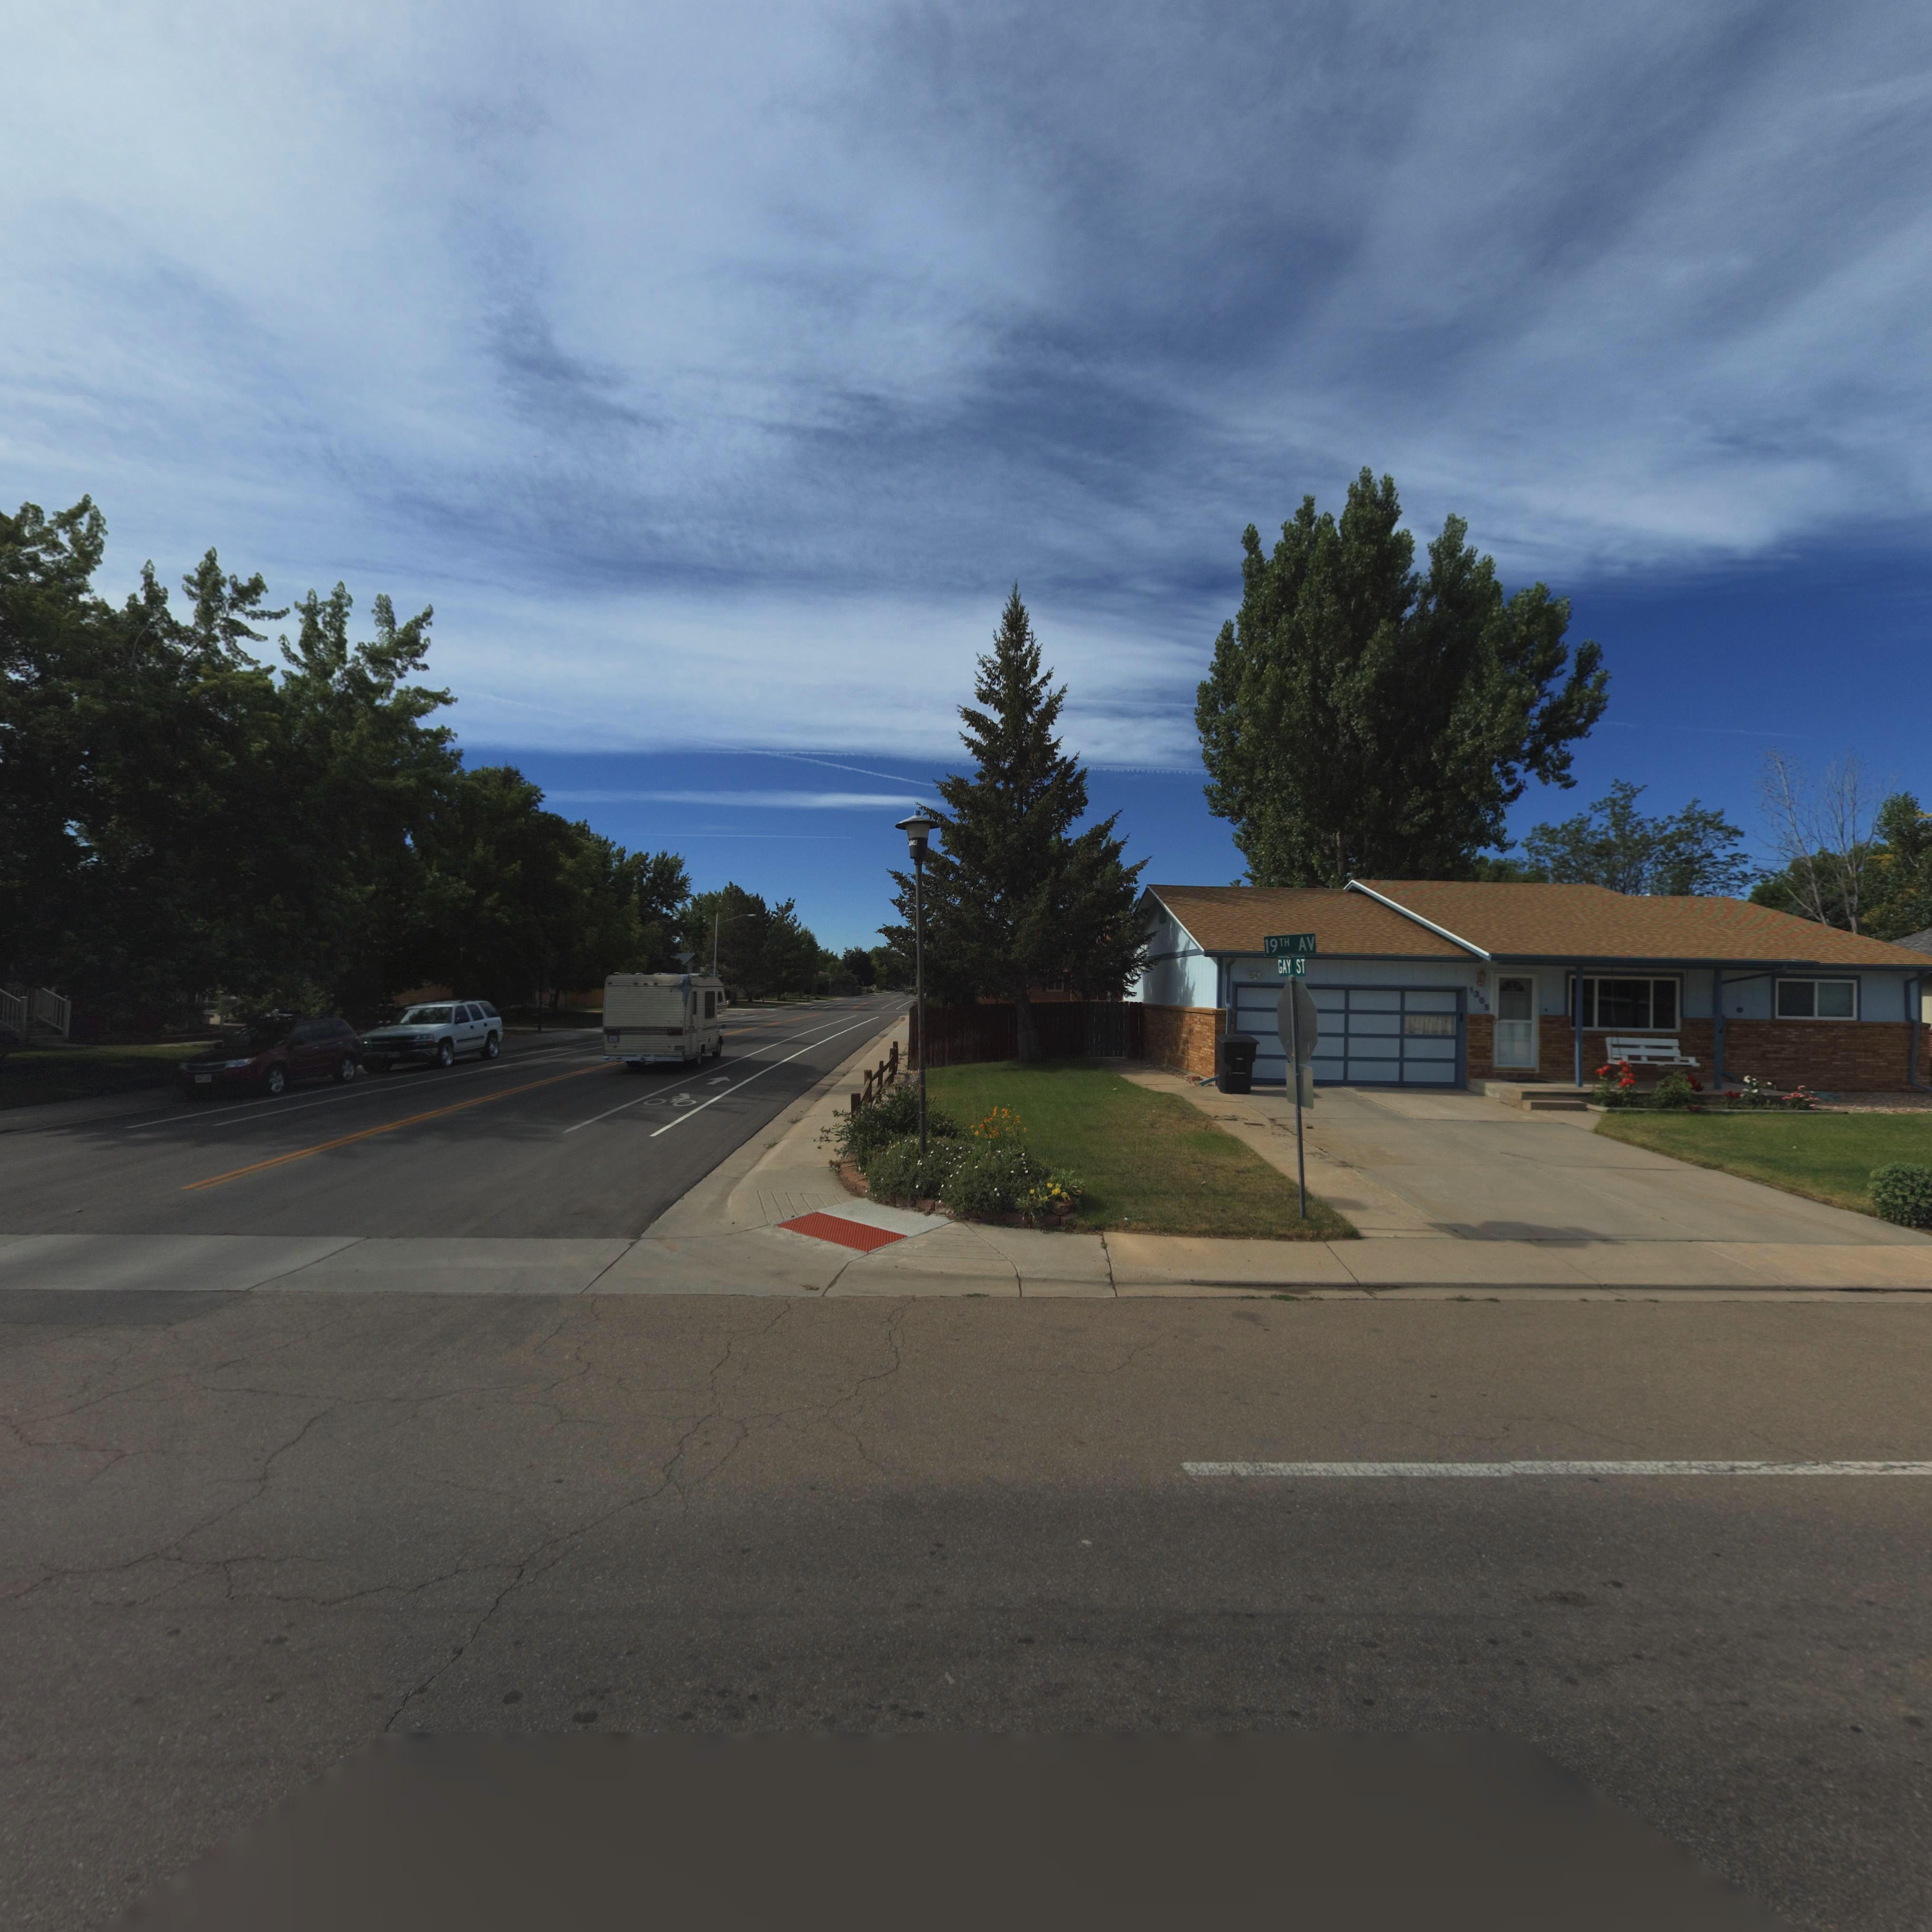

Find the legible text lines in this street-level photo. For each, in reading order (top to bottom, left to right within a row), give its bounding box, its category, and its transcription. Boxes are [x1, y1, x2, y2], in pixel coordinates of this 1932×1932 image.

[1264, 935, 1315, 954] StreetName: 19TH AV
[1277, 958, 1305, 974] StreetName: GAY ST
[1468, 985, 1491, 1011] StreetNumber: 1305